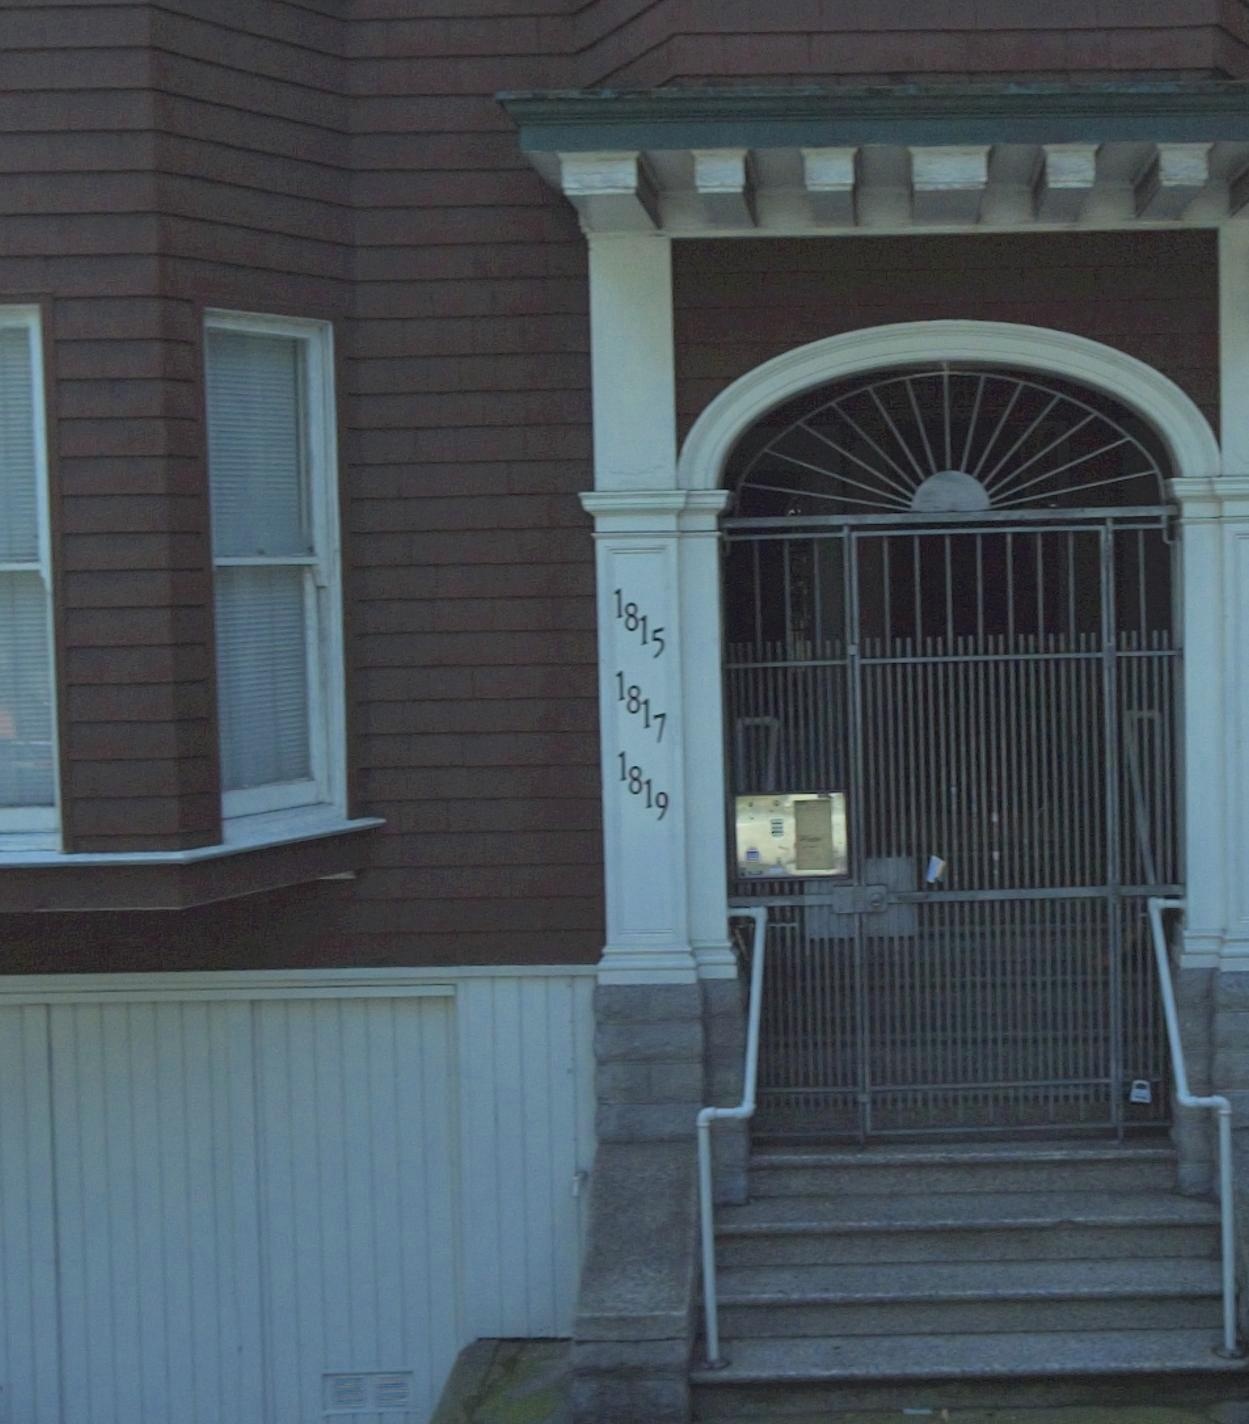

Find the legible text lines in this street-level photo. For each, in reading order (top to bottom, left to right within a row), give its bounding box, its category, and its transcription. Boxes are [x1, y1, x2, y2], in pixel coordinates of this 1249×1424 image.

[610, 583, 669, 664] StreetNumber: 1815
[612, 667, 672, 749] StreetNumber: 1817
[613, 747, 673, 826] StreetNumber: 1819